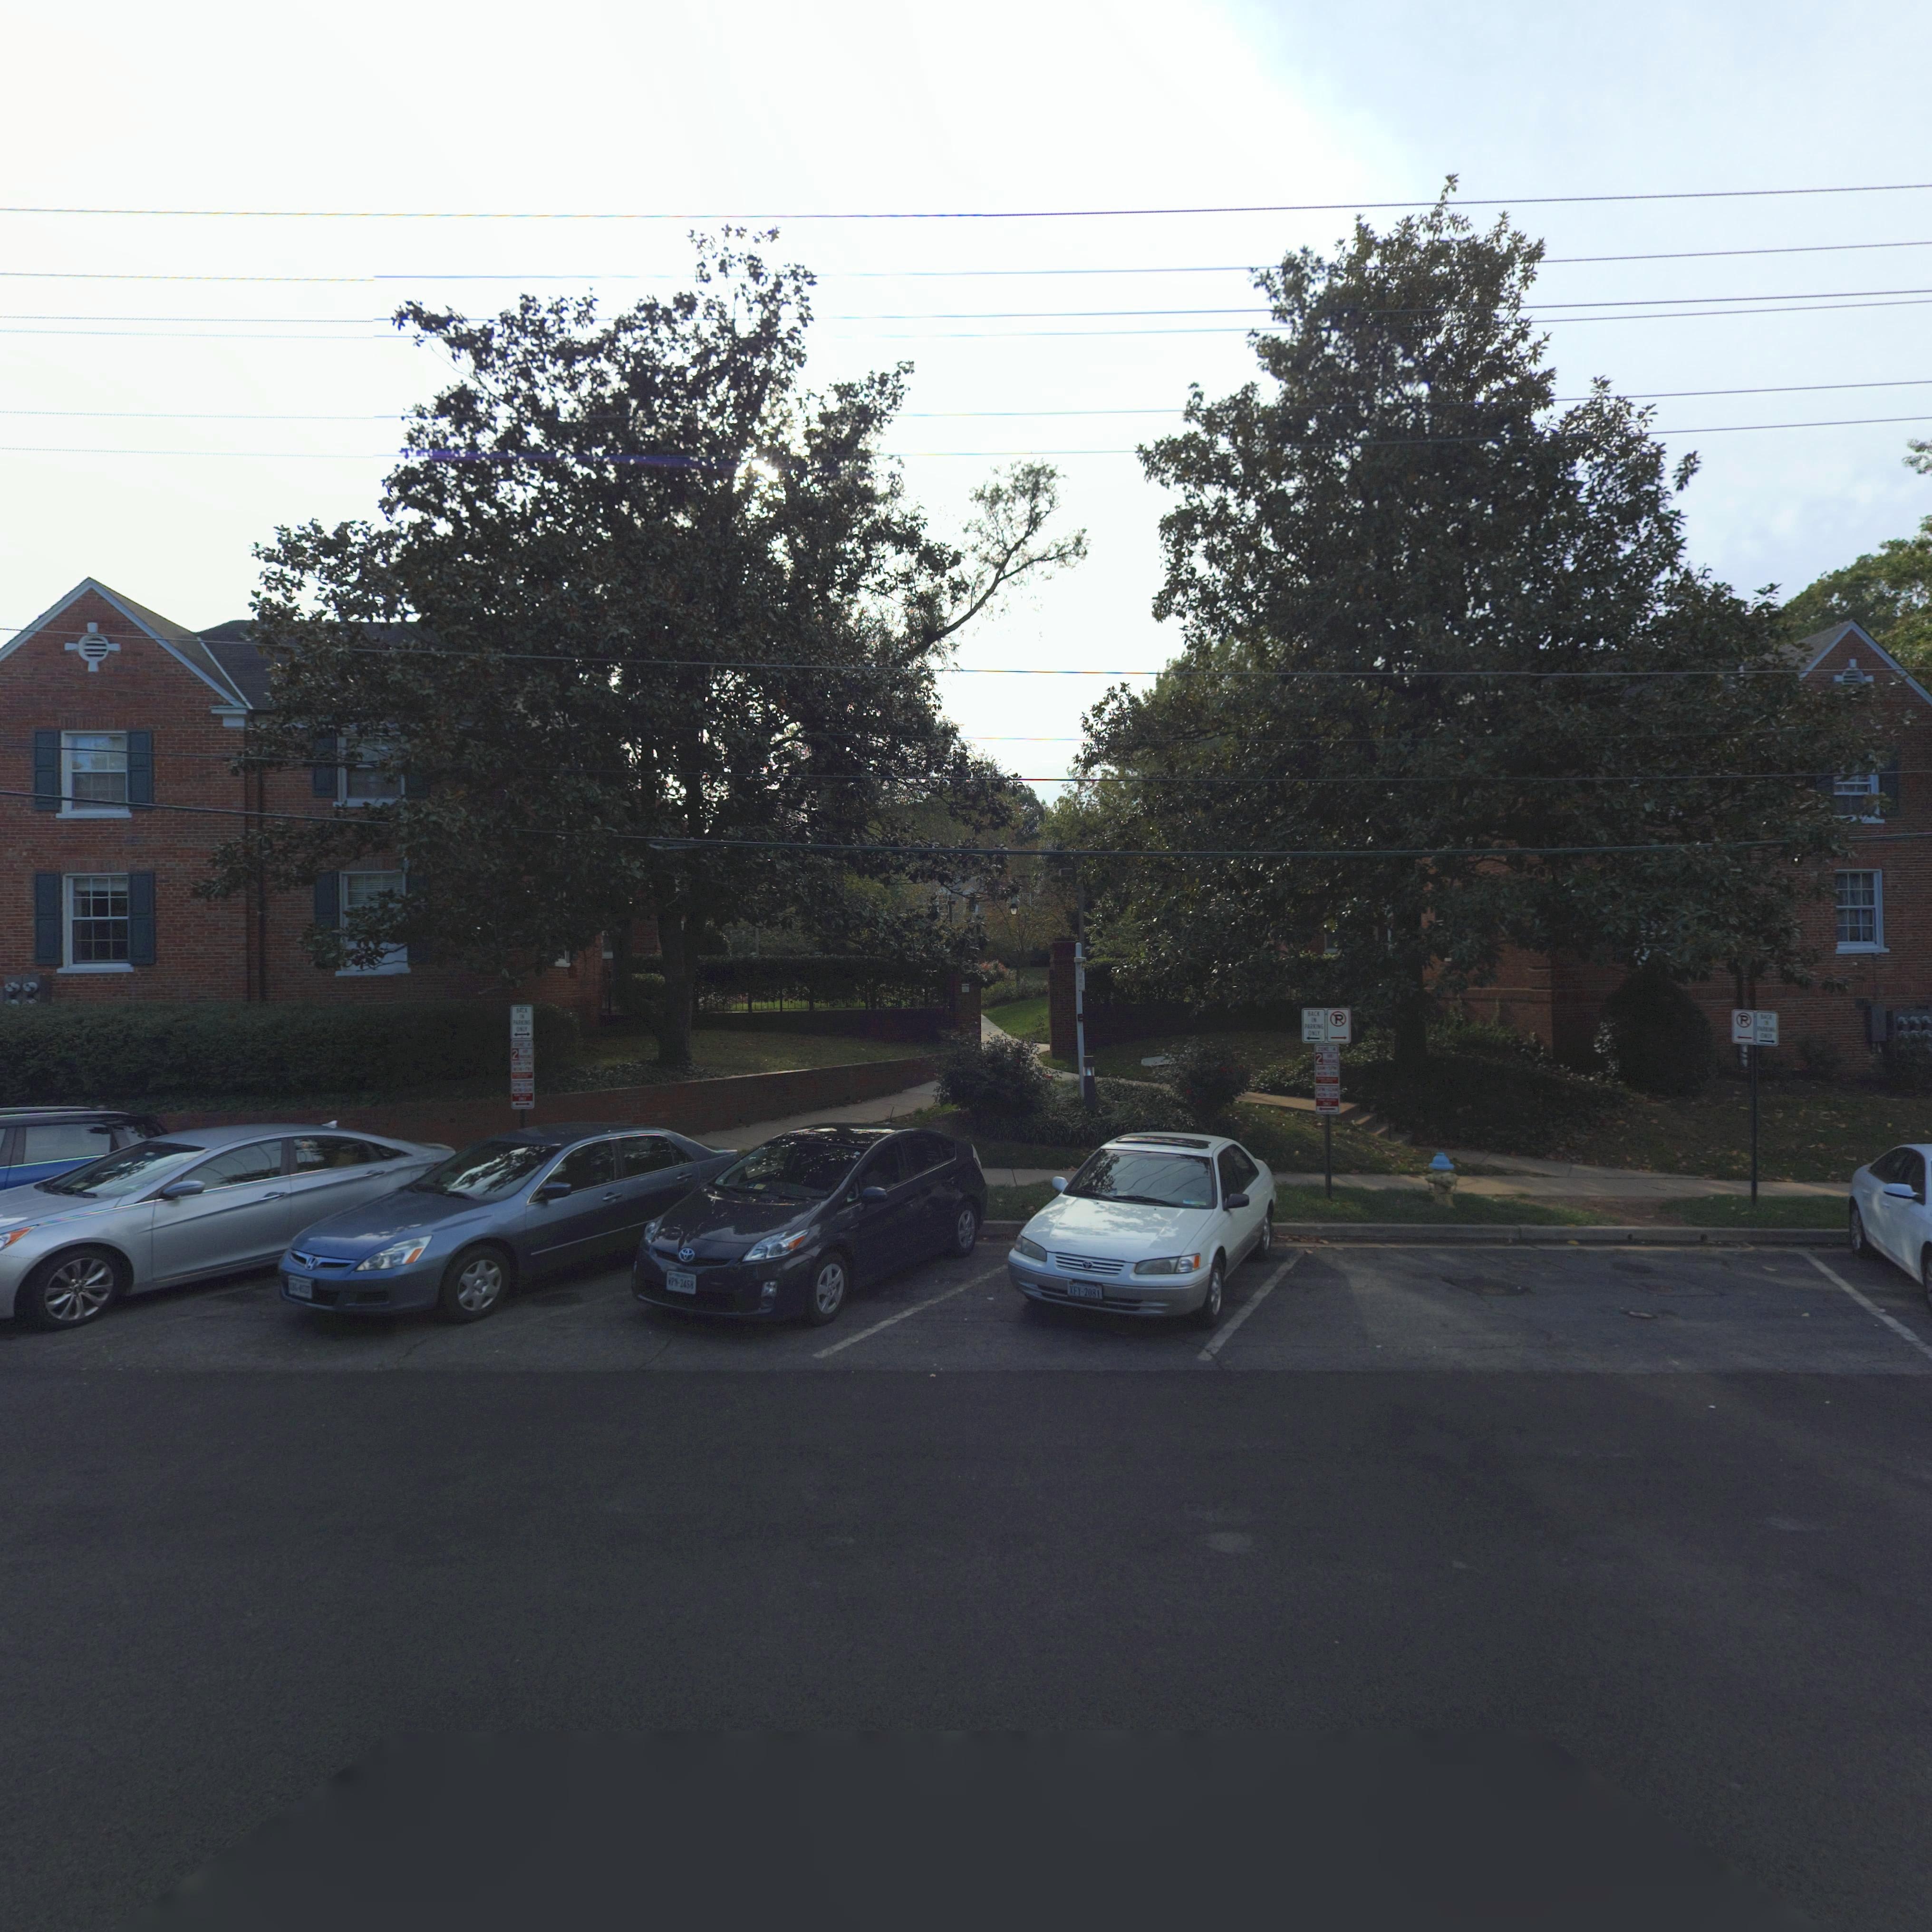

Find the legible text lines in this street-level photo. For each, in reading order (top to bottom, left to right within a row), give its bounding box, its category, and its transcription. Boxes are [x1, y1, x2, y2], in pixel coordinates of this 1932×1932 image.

[516, 1007, 528, 1013] None: BAC*
[1307, 1010, 1320, 1016] None: BACK
[1760, 1013, 1773, 1020] None: **C*
[512, 1019, 531, 1025] None: PARKING
[1311, 1017, 1316, 1023] None: IN
[516, 1026, 528, 1032] None: ONLY
[1304, 1023, 1324, 1029] None: PARKING
[1308, 1030, 1320, 1036] None: ONLY
[1760, 1033, 1773, 1039] None: ONLY
[1317, 1046, 1336, 1052] None: ZONE 4
[512, 1049, 518, 1060] None: 2
[1315, 1053, 1323, 1064] None: 2
[1317, 1071, 1337, 1076] None: *ON-FRI
[1316, 1092, 1338, 1097] None: MON-SUN
[667, 1276, 694, 1290] None: WPN*2458
[298, 1284, 311, 1294] None: 4527
[1069, 1285, 1100, 1298] None: XFY*2081